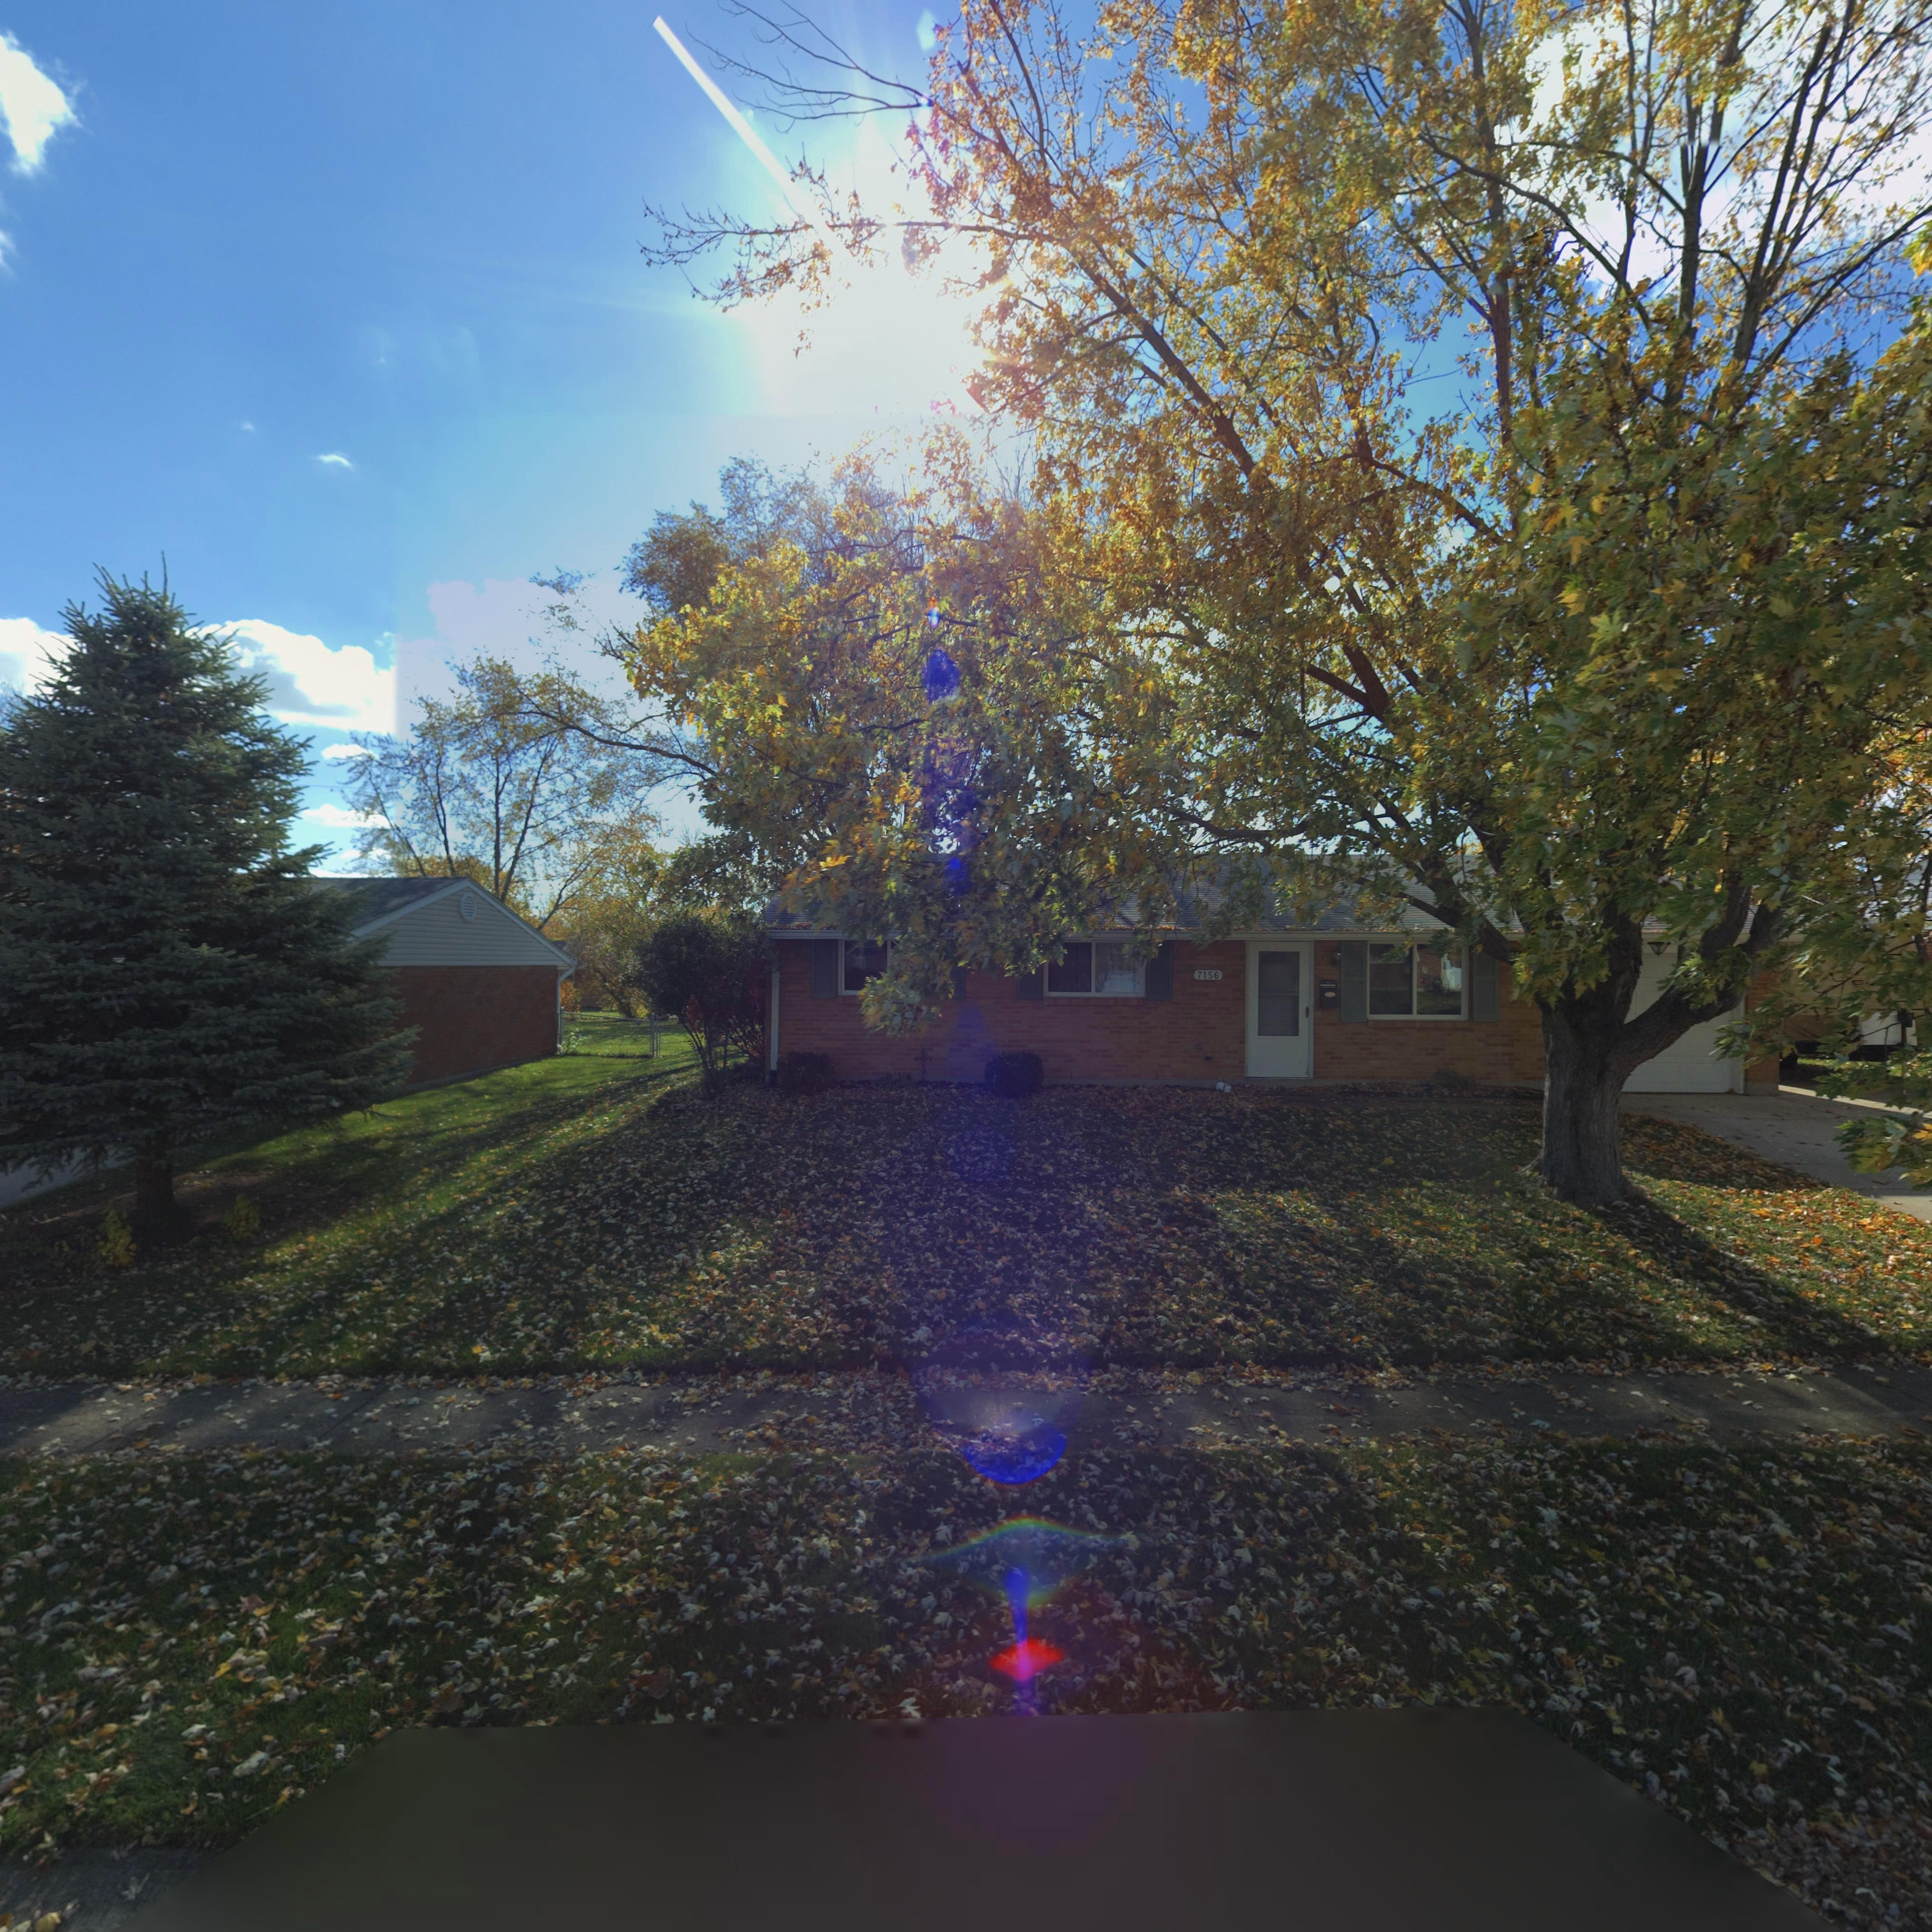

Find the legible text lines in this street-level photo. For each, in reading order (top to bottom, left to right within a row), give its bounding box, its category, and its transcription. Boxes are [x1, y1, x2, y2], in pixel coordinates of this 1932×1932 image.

[1197, 970, 1220, 980] StreetNumber: 7156